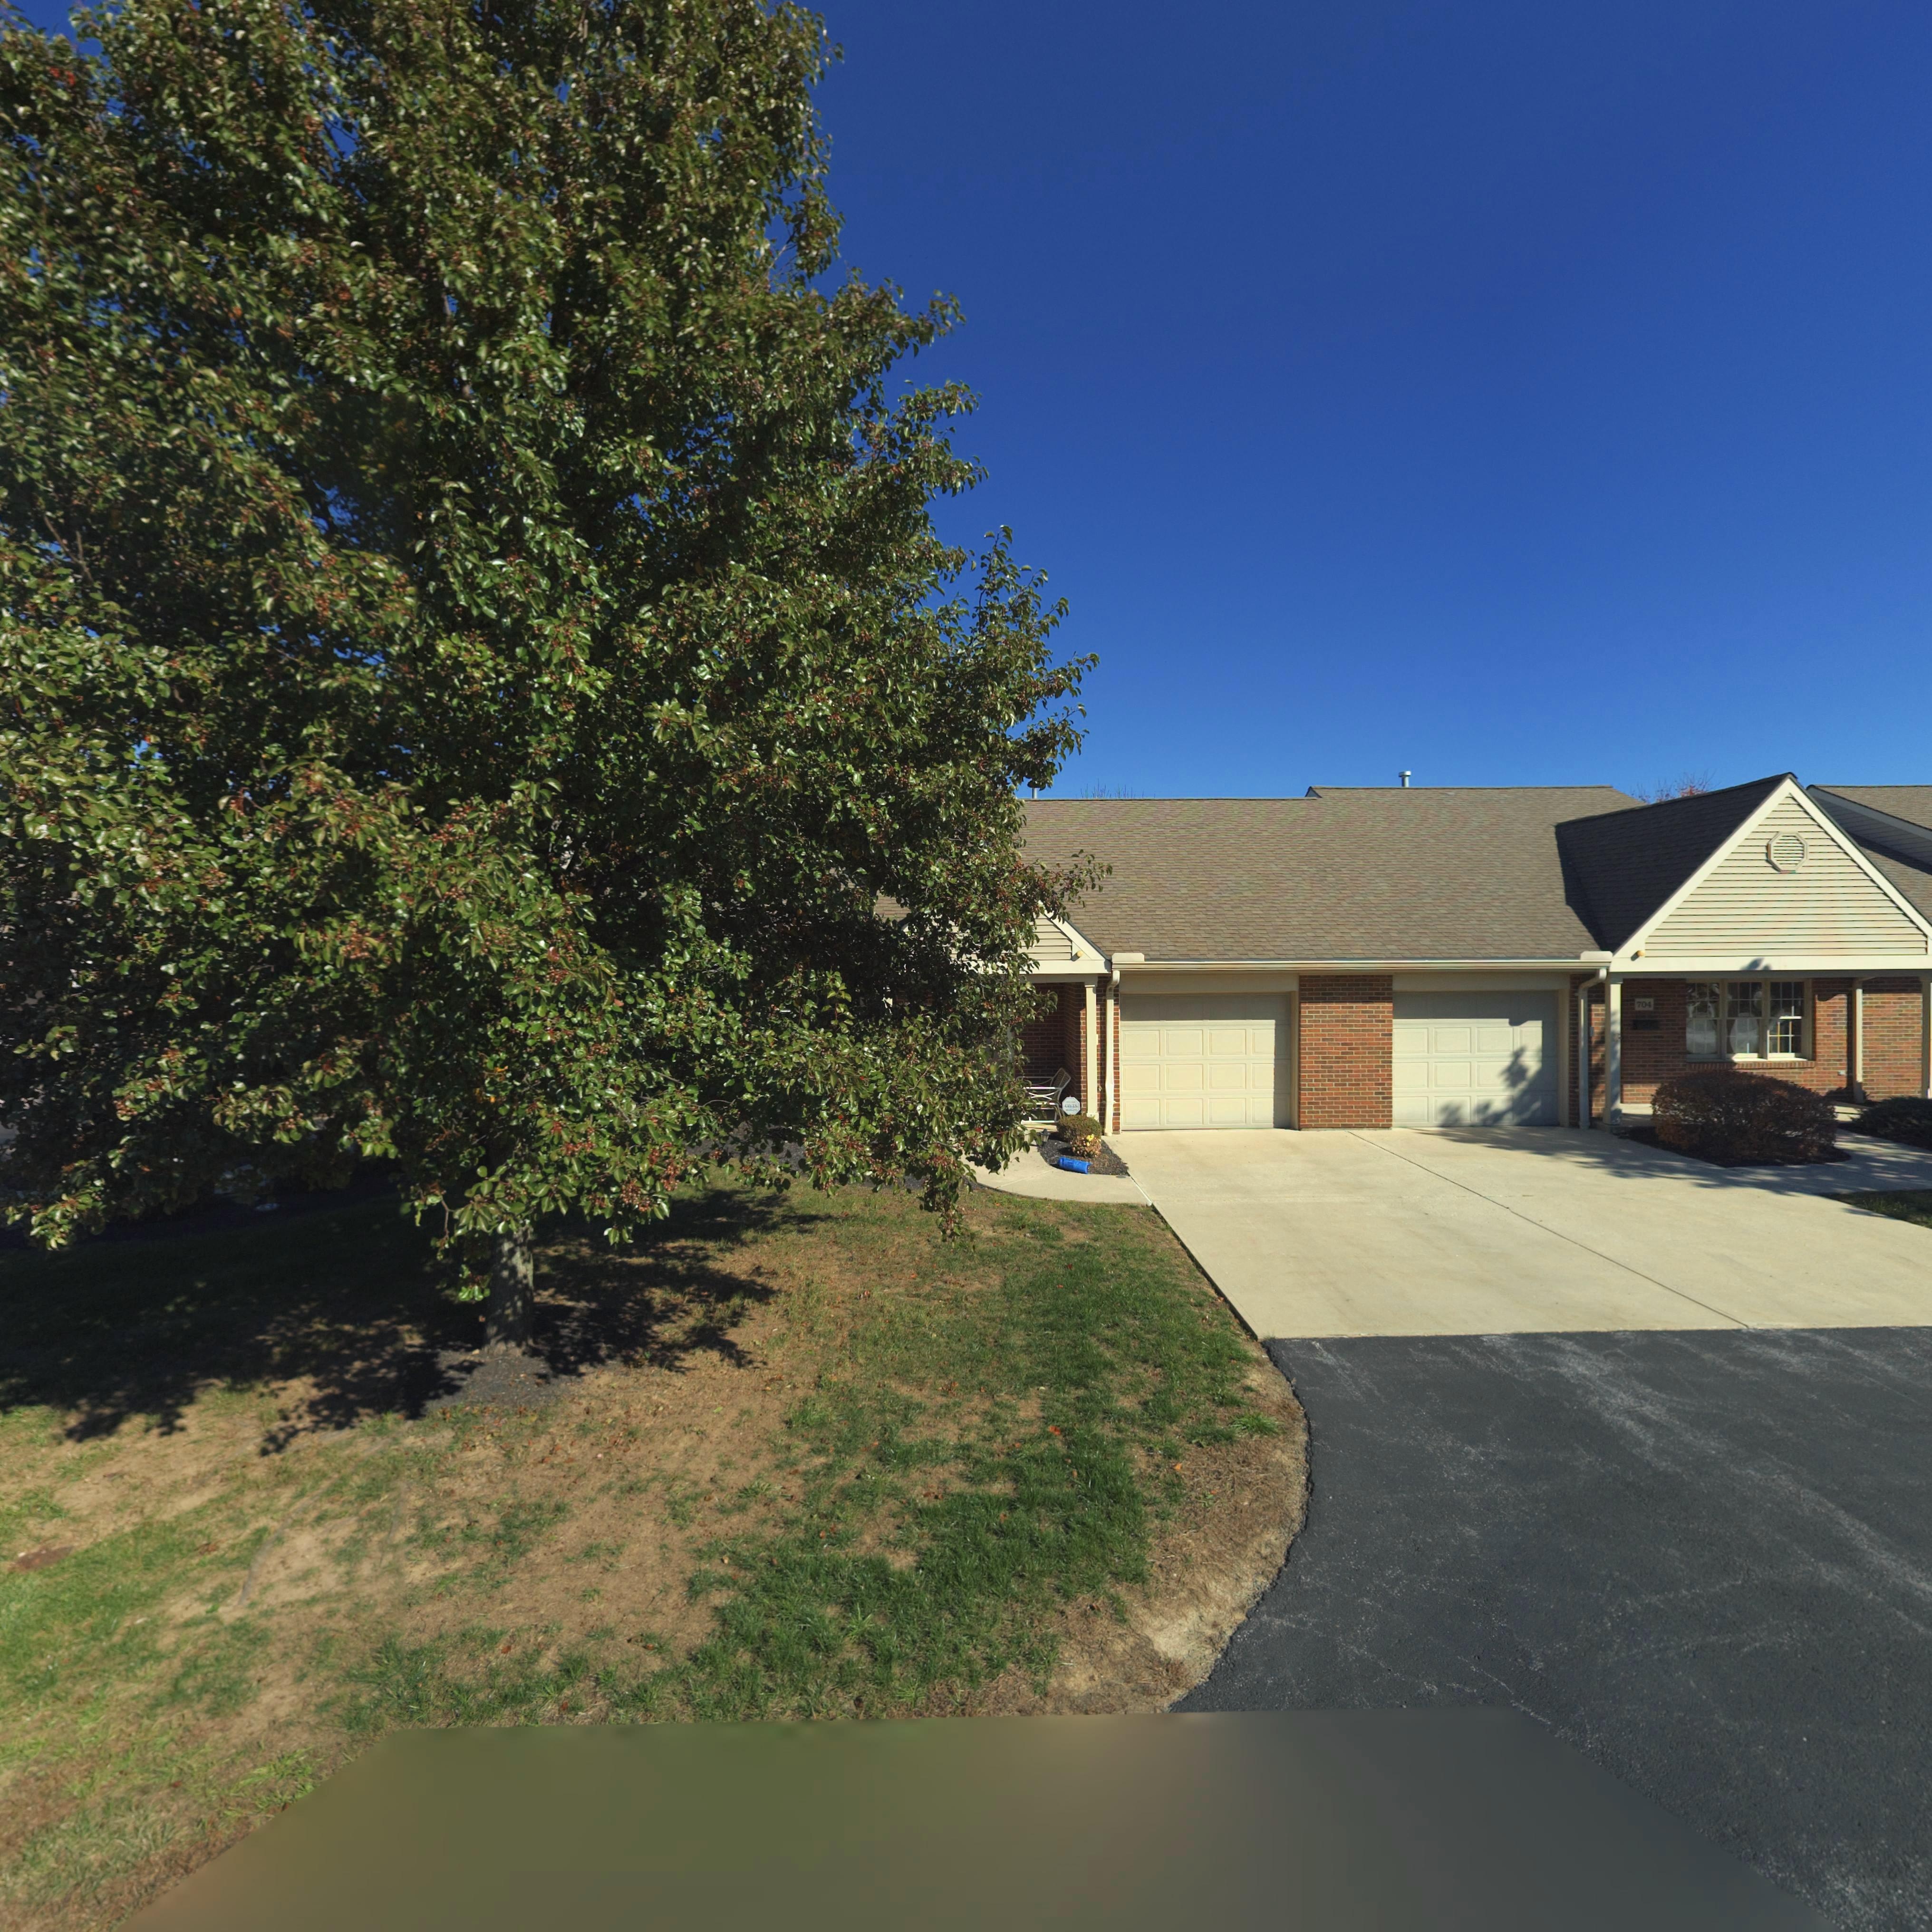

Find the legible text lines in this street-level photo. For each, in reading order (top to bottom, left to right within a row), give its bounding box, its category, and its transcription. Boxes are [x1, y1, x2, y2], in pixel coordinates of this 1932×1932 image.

[1636, 1001, 1652, 1008] StreetNumber: 704